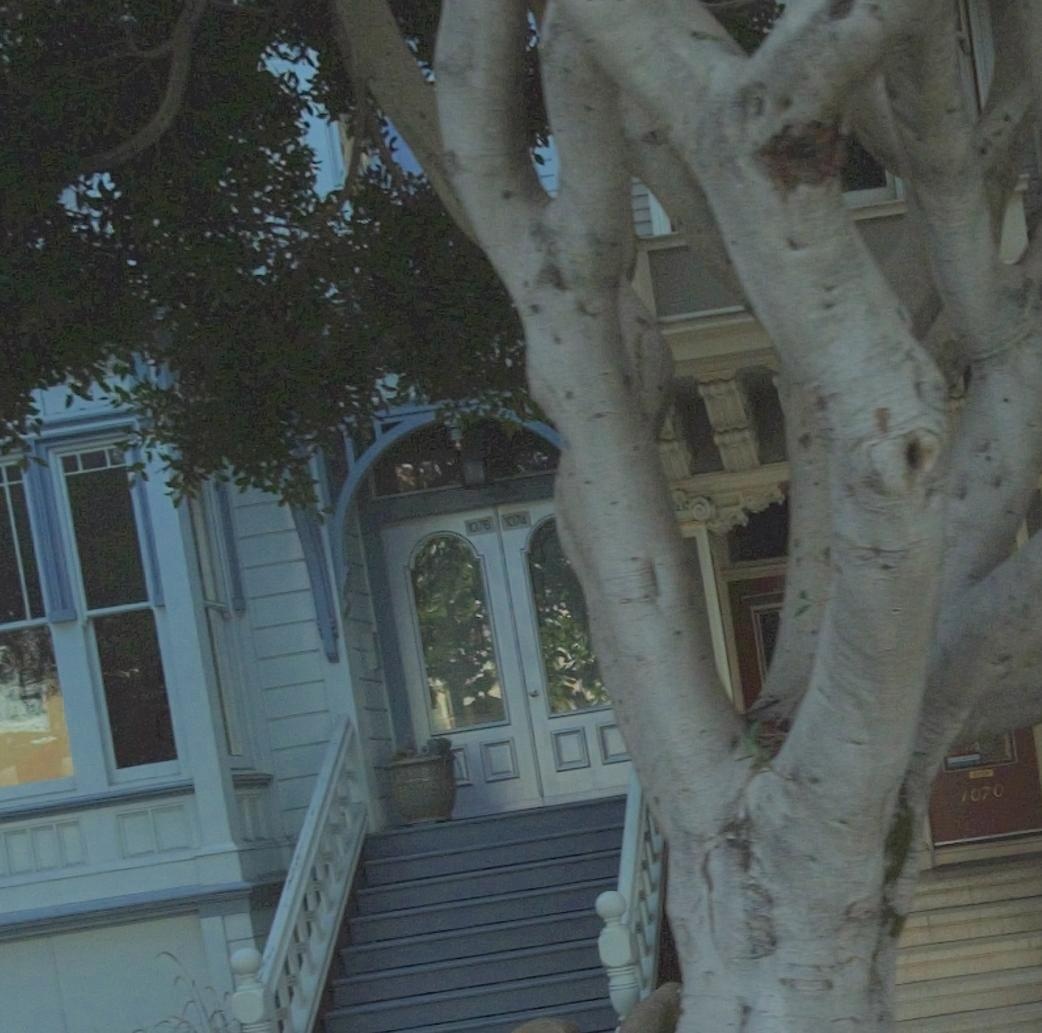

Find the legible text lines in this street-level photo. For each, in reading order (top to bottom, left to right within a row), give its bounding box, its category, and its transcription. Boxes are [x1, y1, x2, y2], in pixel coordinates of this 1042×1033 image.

[466, 518, 493, 534] StreetNumber: 1076
[503, 513, 528, 528] StreetNumber: 1074
[959, 781, 1007, 805] StreetNumber: 1070